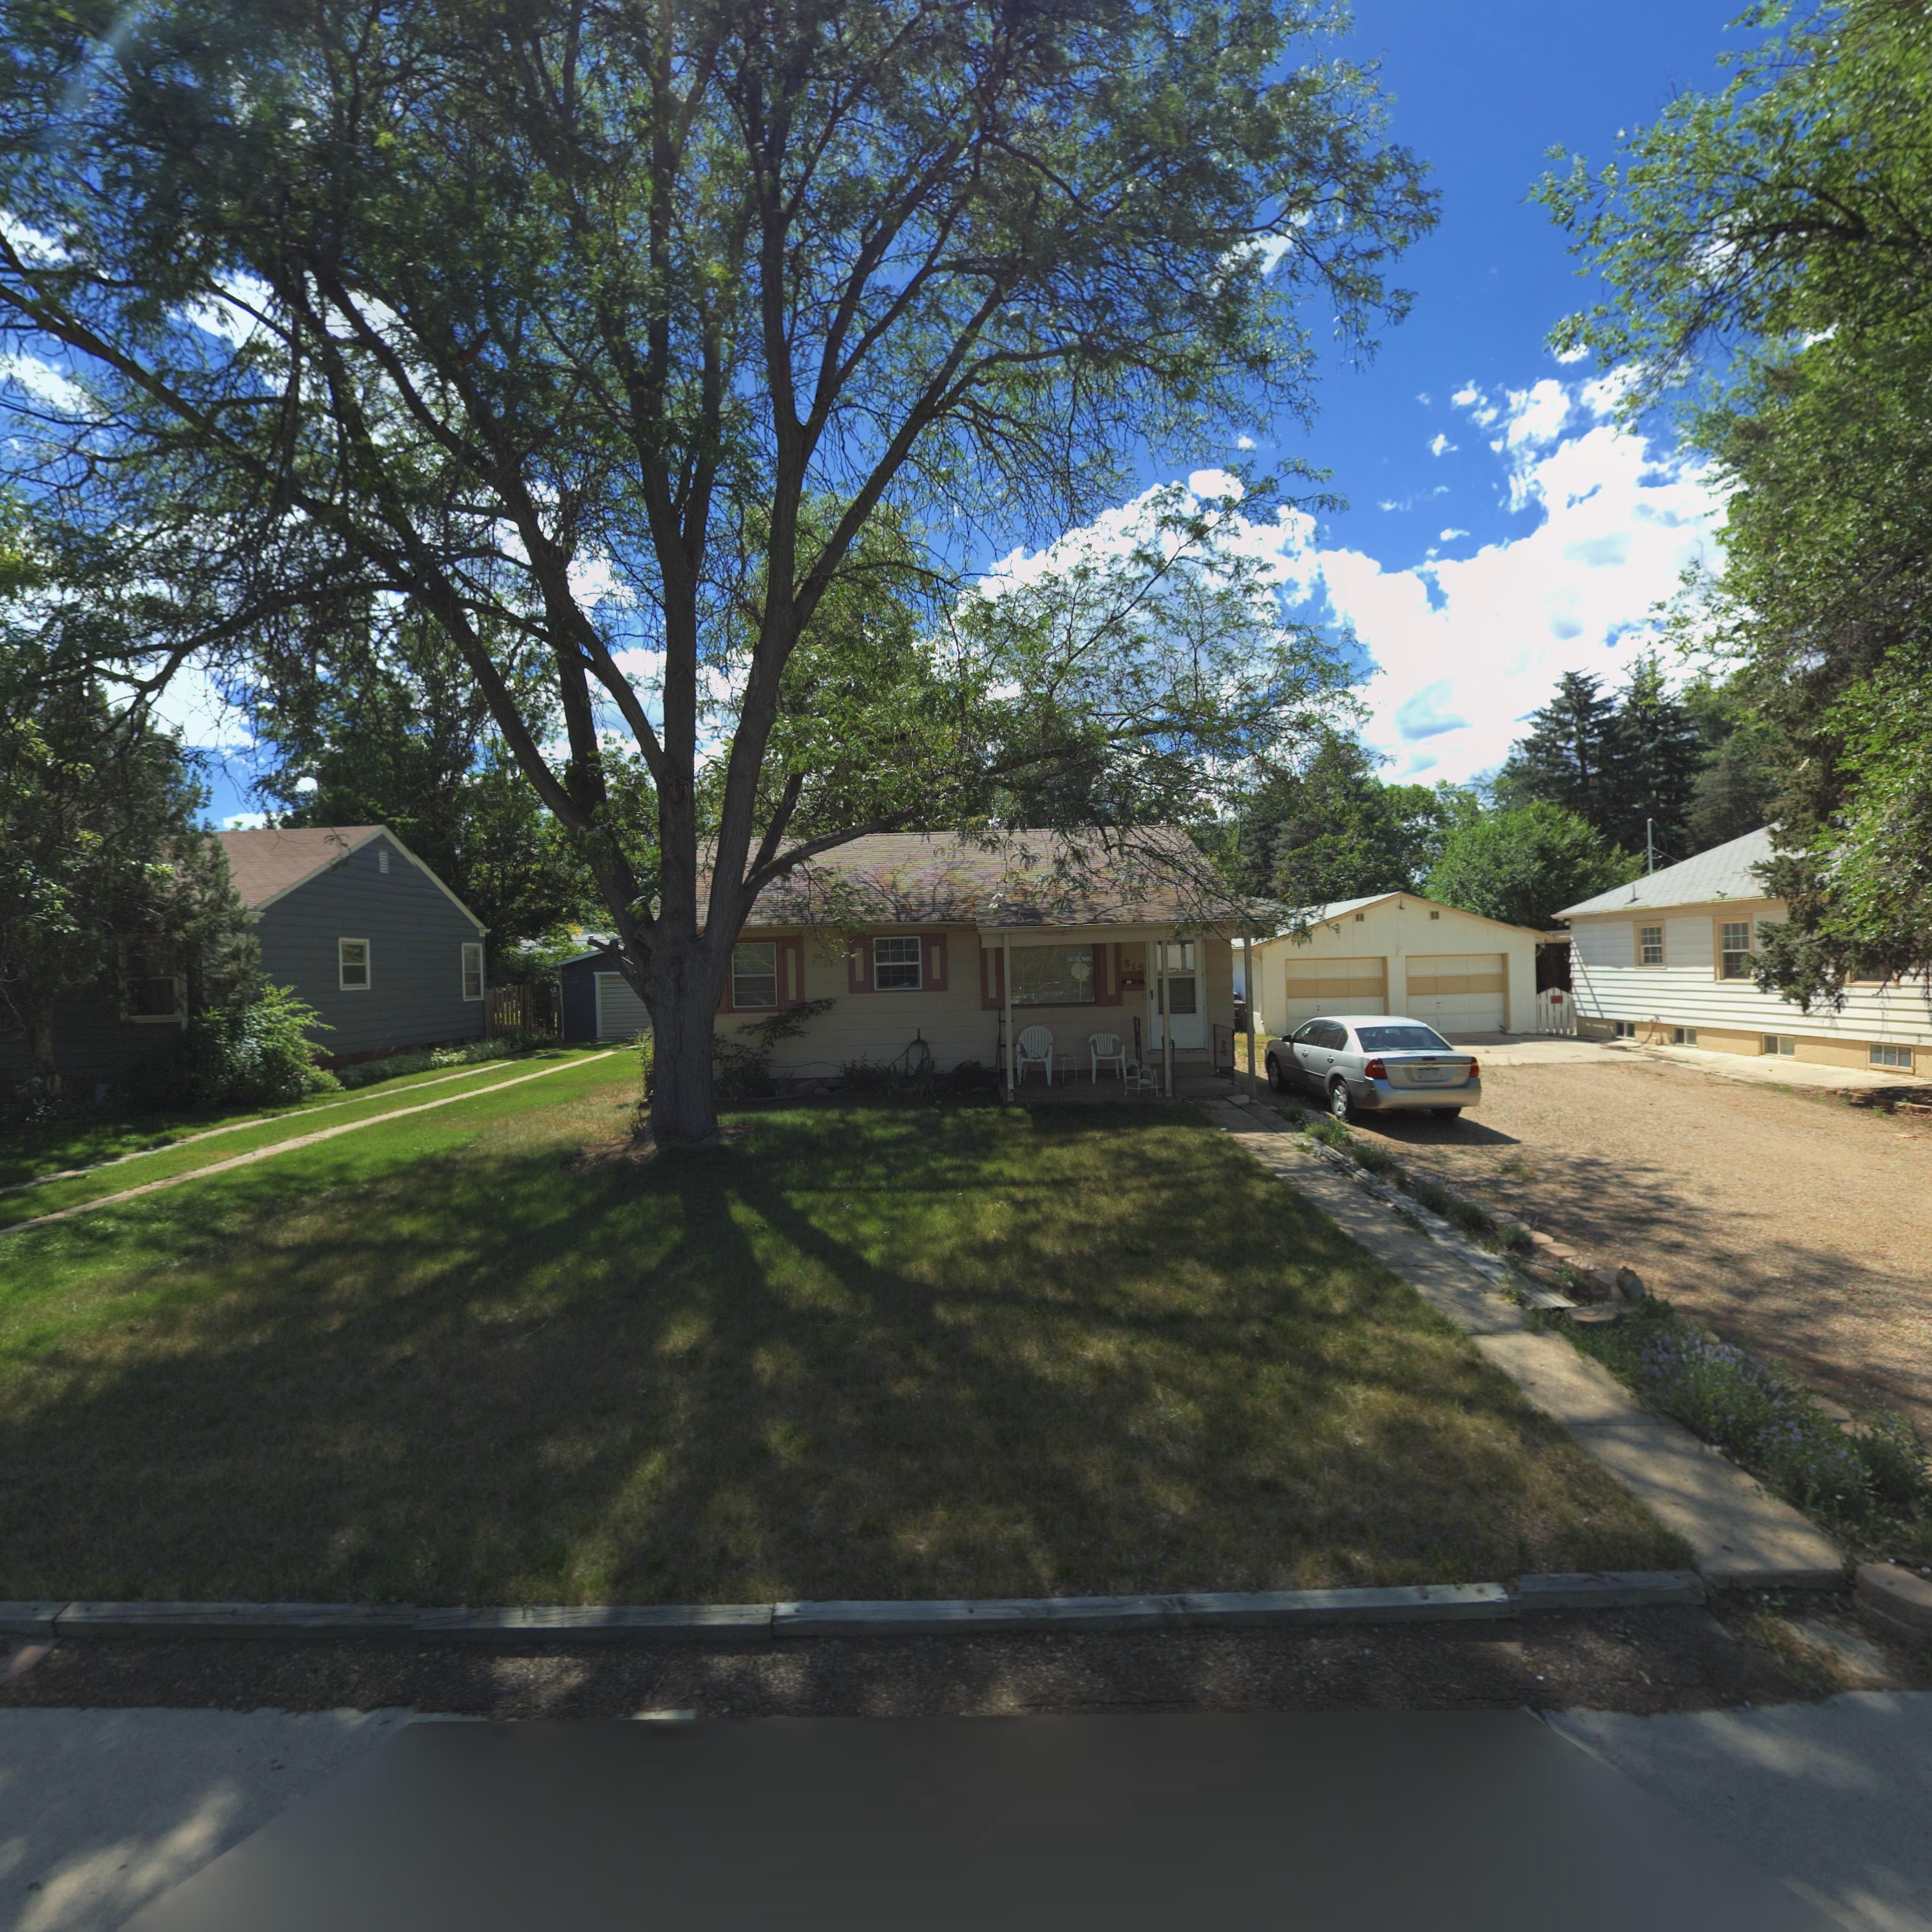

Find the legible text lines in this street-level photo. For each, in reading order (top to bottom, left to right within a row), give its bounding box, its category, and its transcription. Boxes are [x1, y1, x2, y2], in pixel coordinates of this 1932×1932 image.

[1124, 958, 1144, 973] StreetNumber: 815